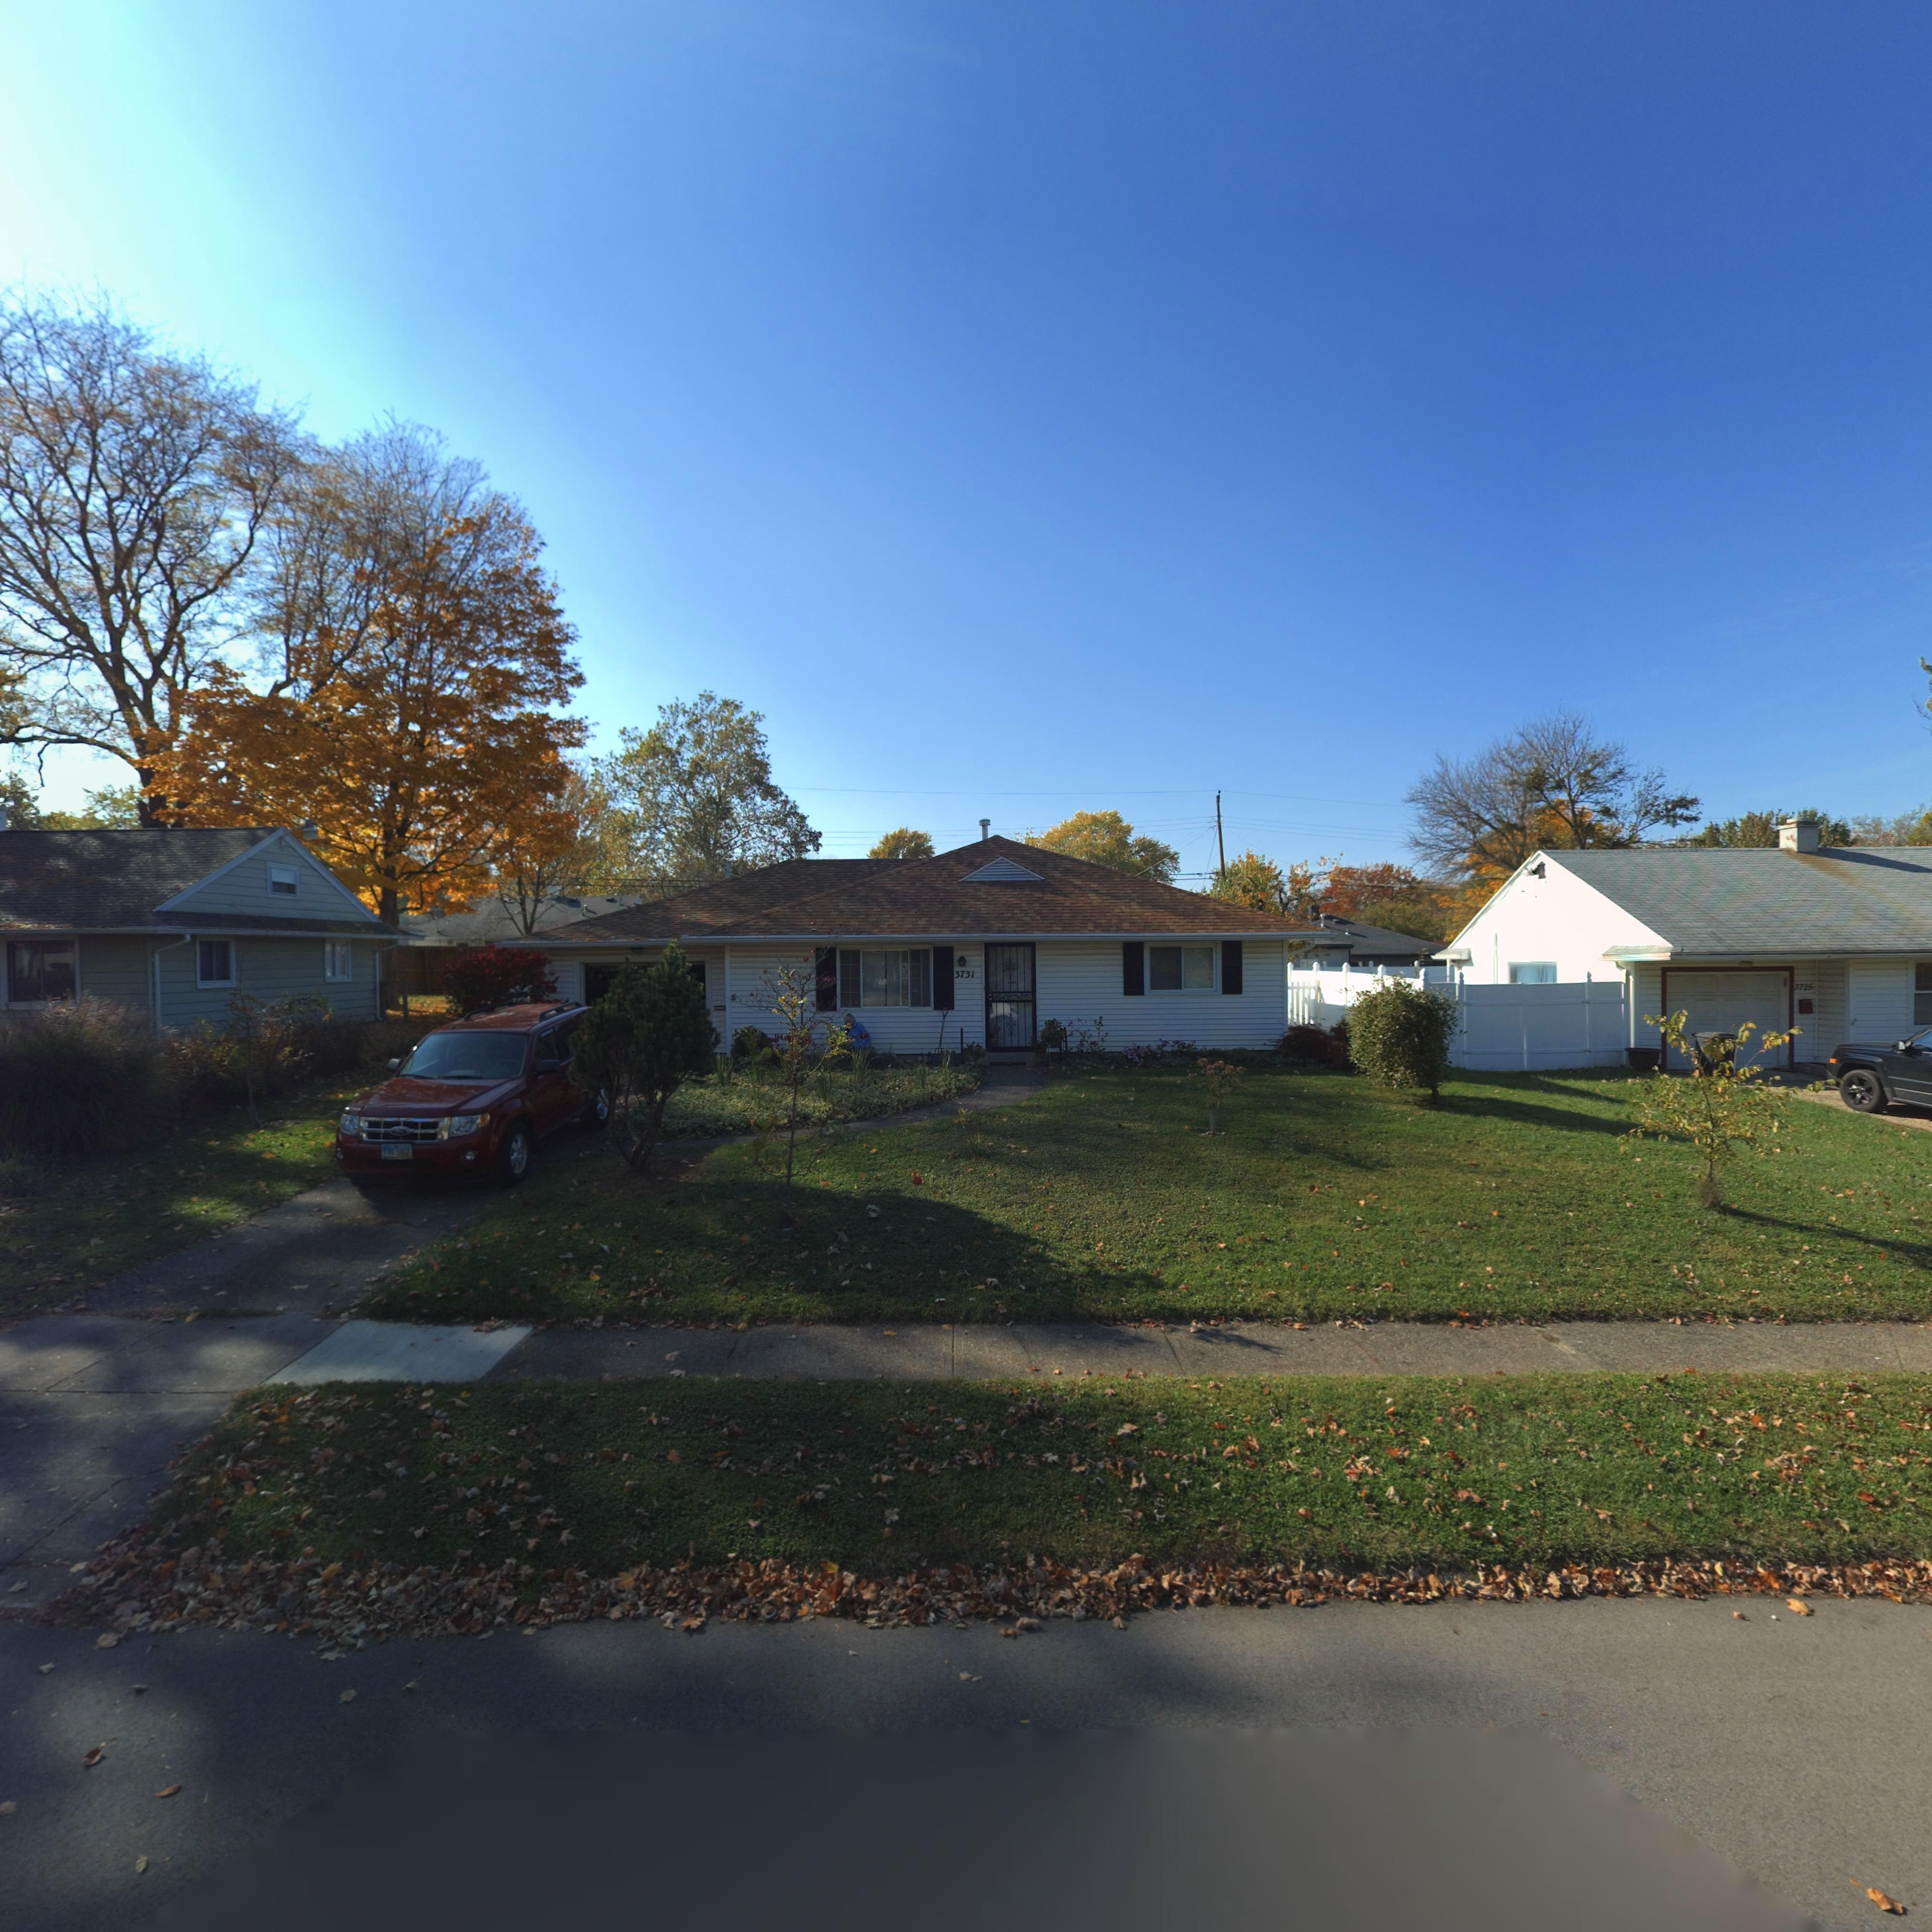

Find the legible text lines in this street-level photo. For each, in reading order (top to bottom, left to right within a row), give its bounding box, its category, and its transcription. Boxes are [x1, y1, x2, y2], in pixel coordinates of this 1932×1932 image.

[955, 970, 975, 978] StreetNumber: 3731
[1794, 983, 1814, 990] StreetNumber: 3725
[382, 1148, 409, 1155] None: FHQ*9402